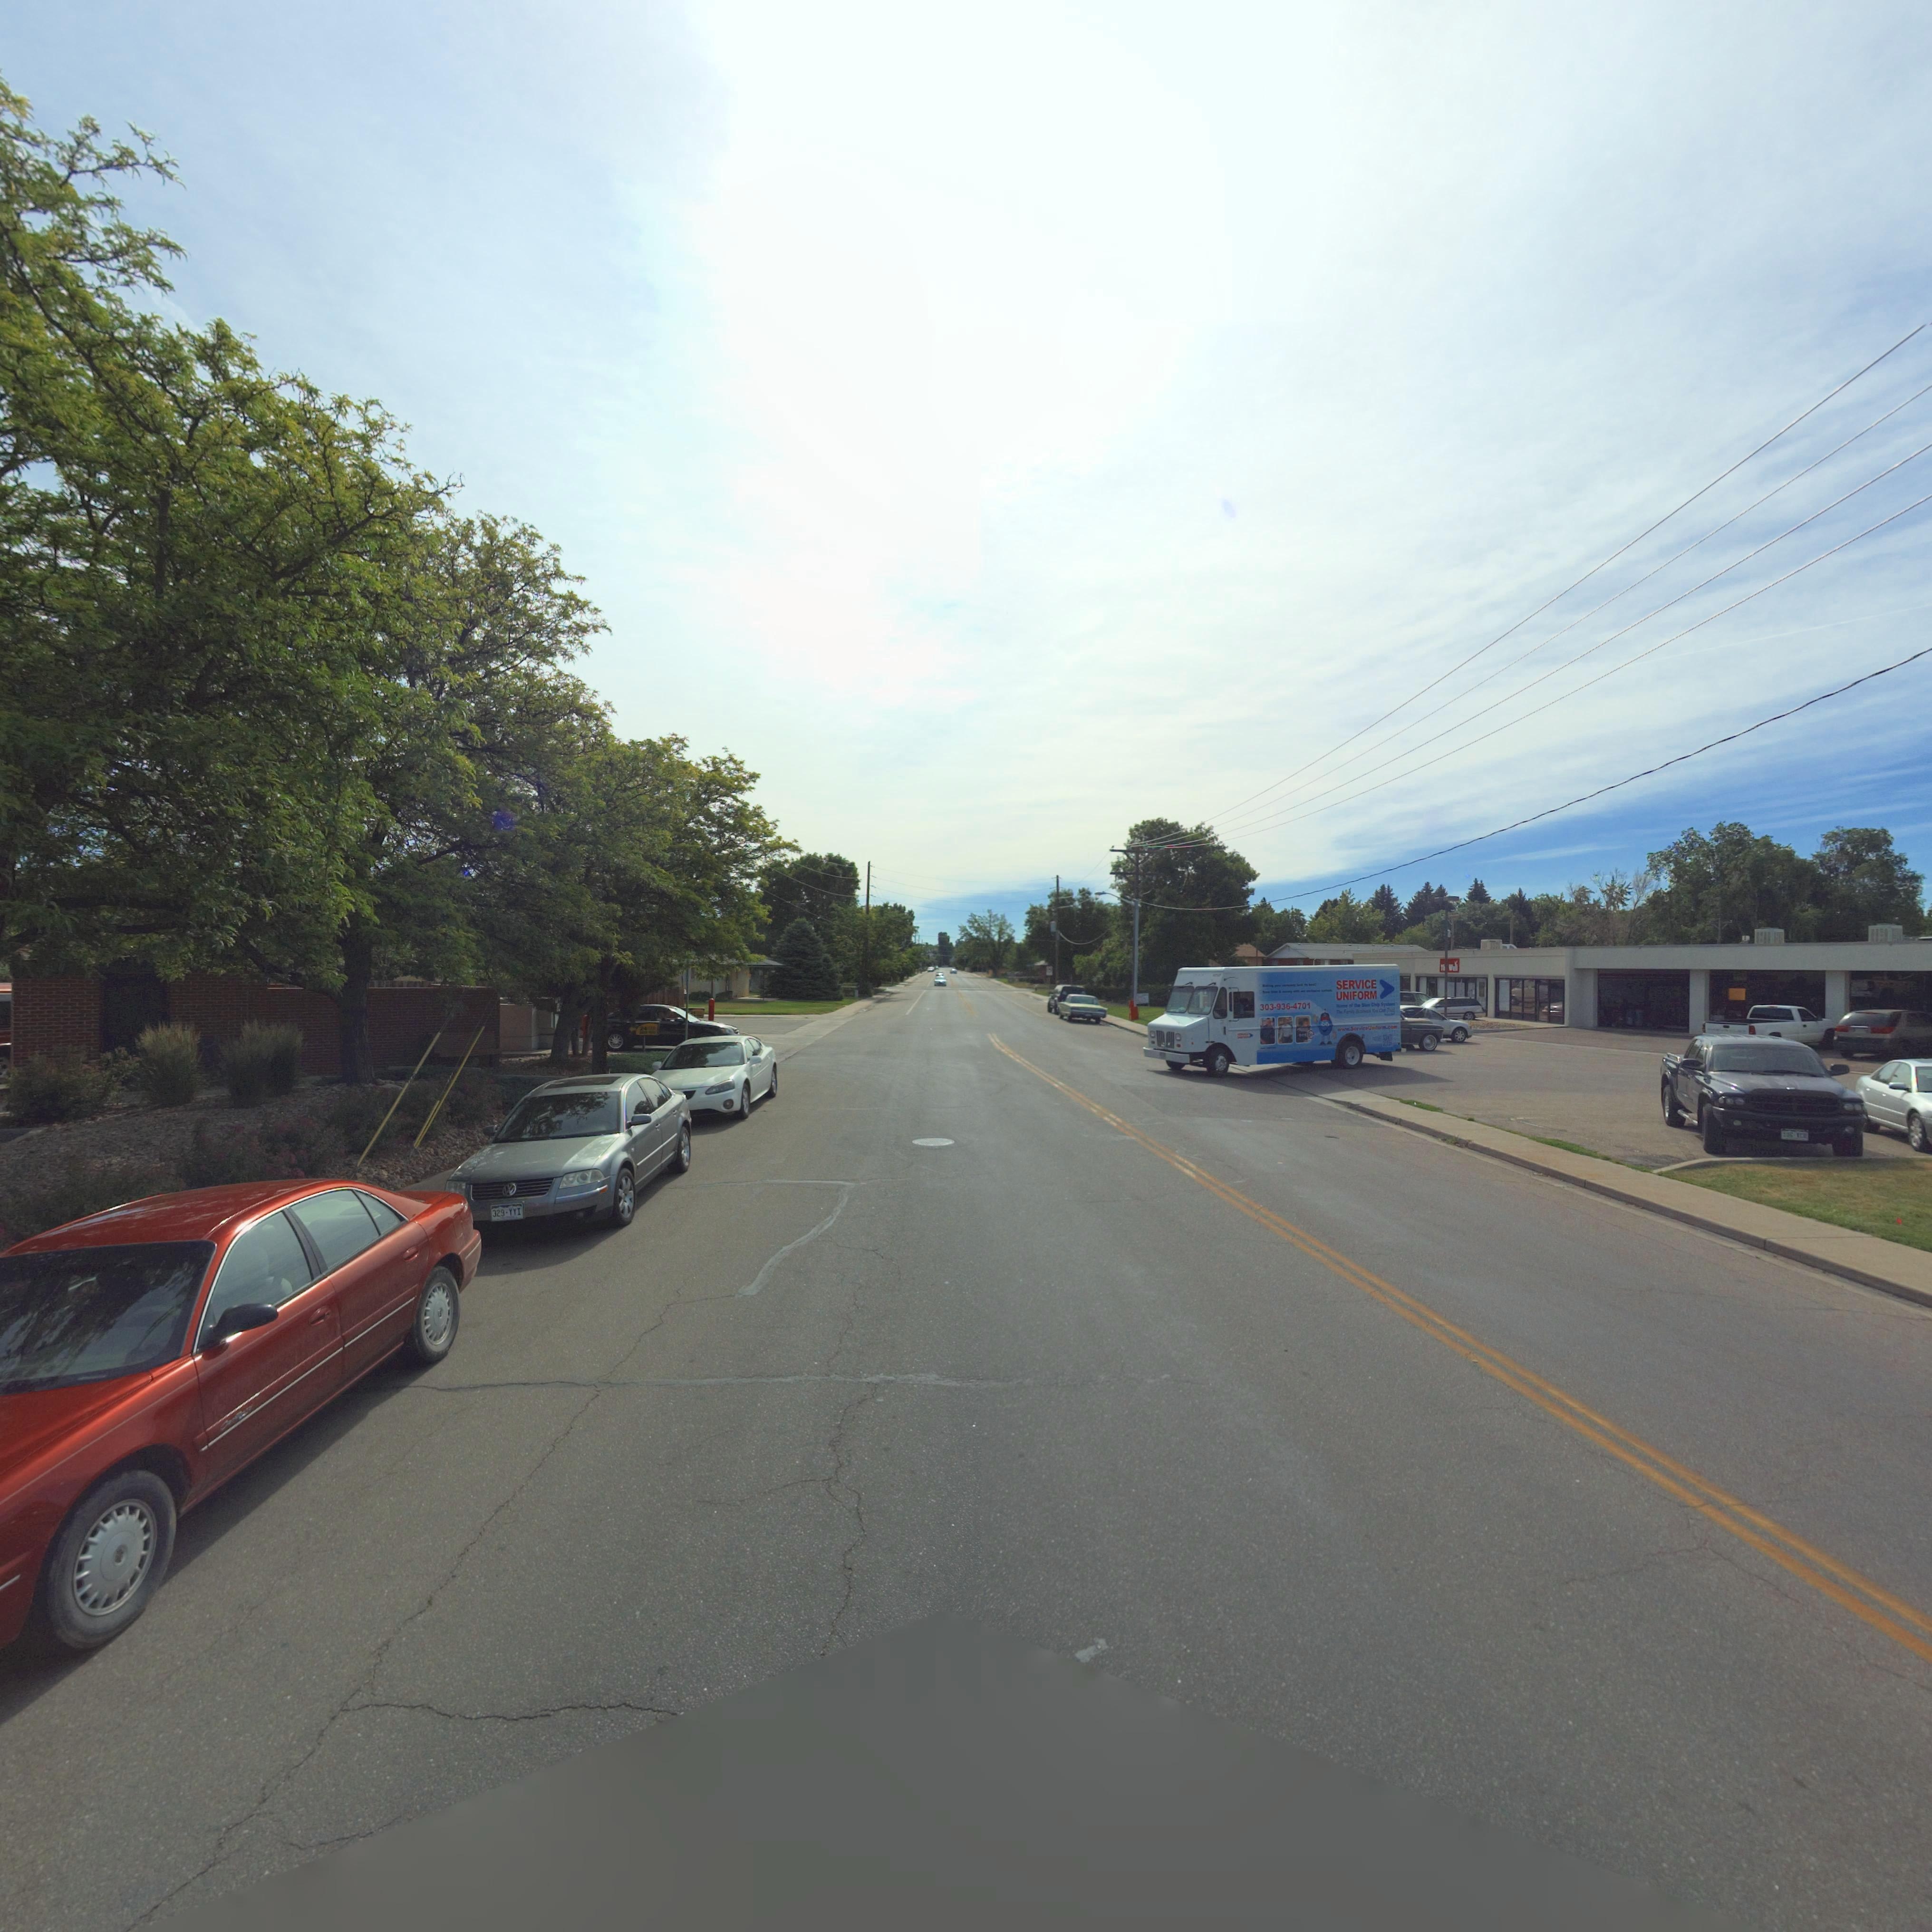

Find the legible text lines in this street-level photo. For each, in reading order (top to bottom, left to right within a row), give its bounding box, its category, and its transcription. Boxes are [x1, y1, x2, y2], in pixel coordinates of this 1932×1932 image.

[1440, 963, 1458, 971] BusinessName: Th*We*l
[1336, 1002, 1395, 1008] BusinessName: Th**We**